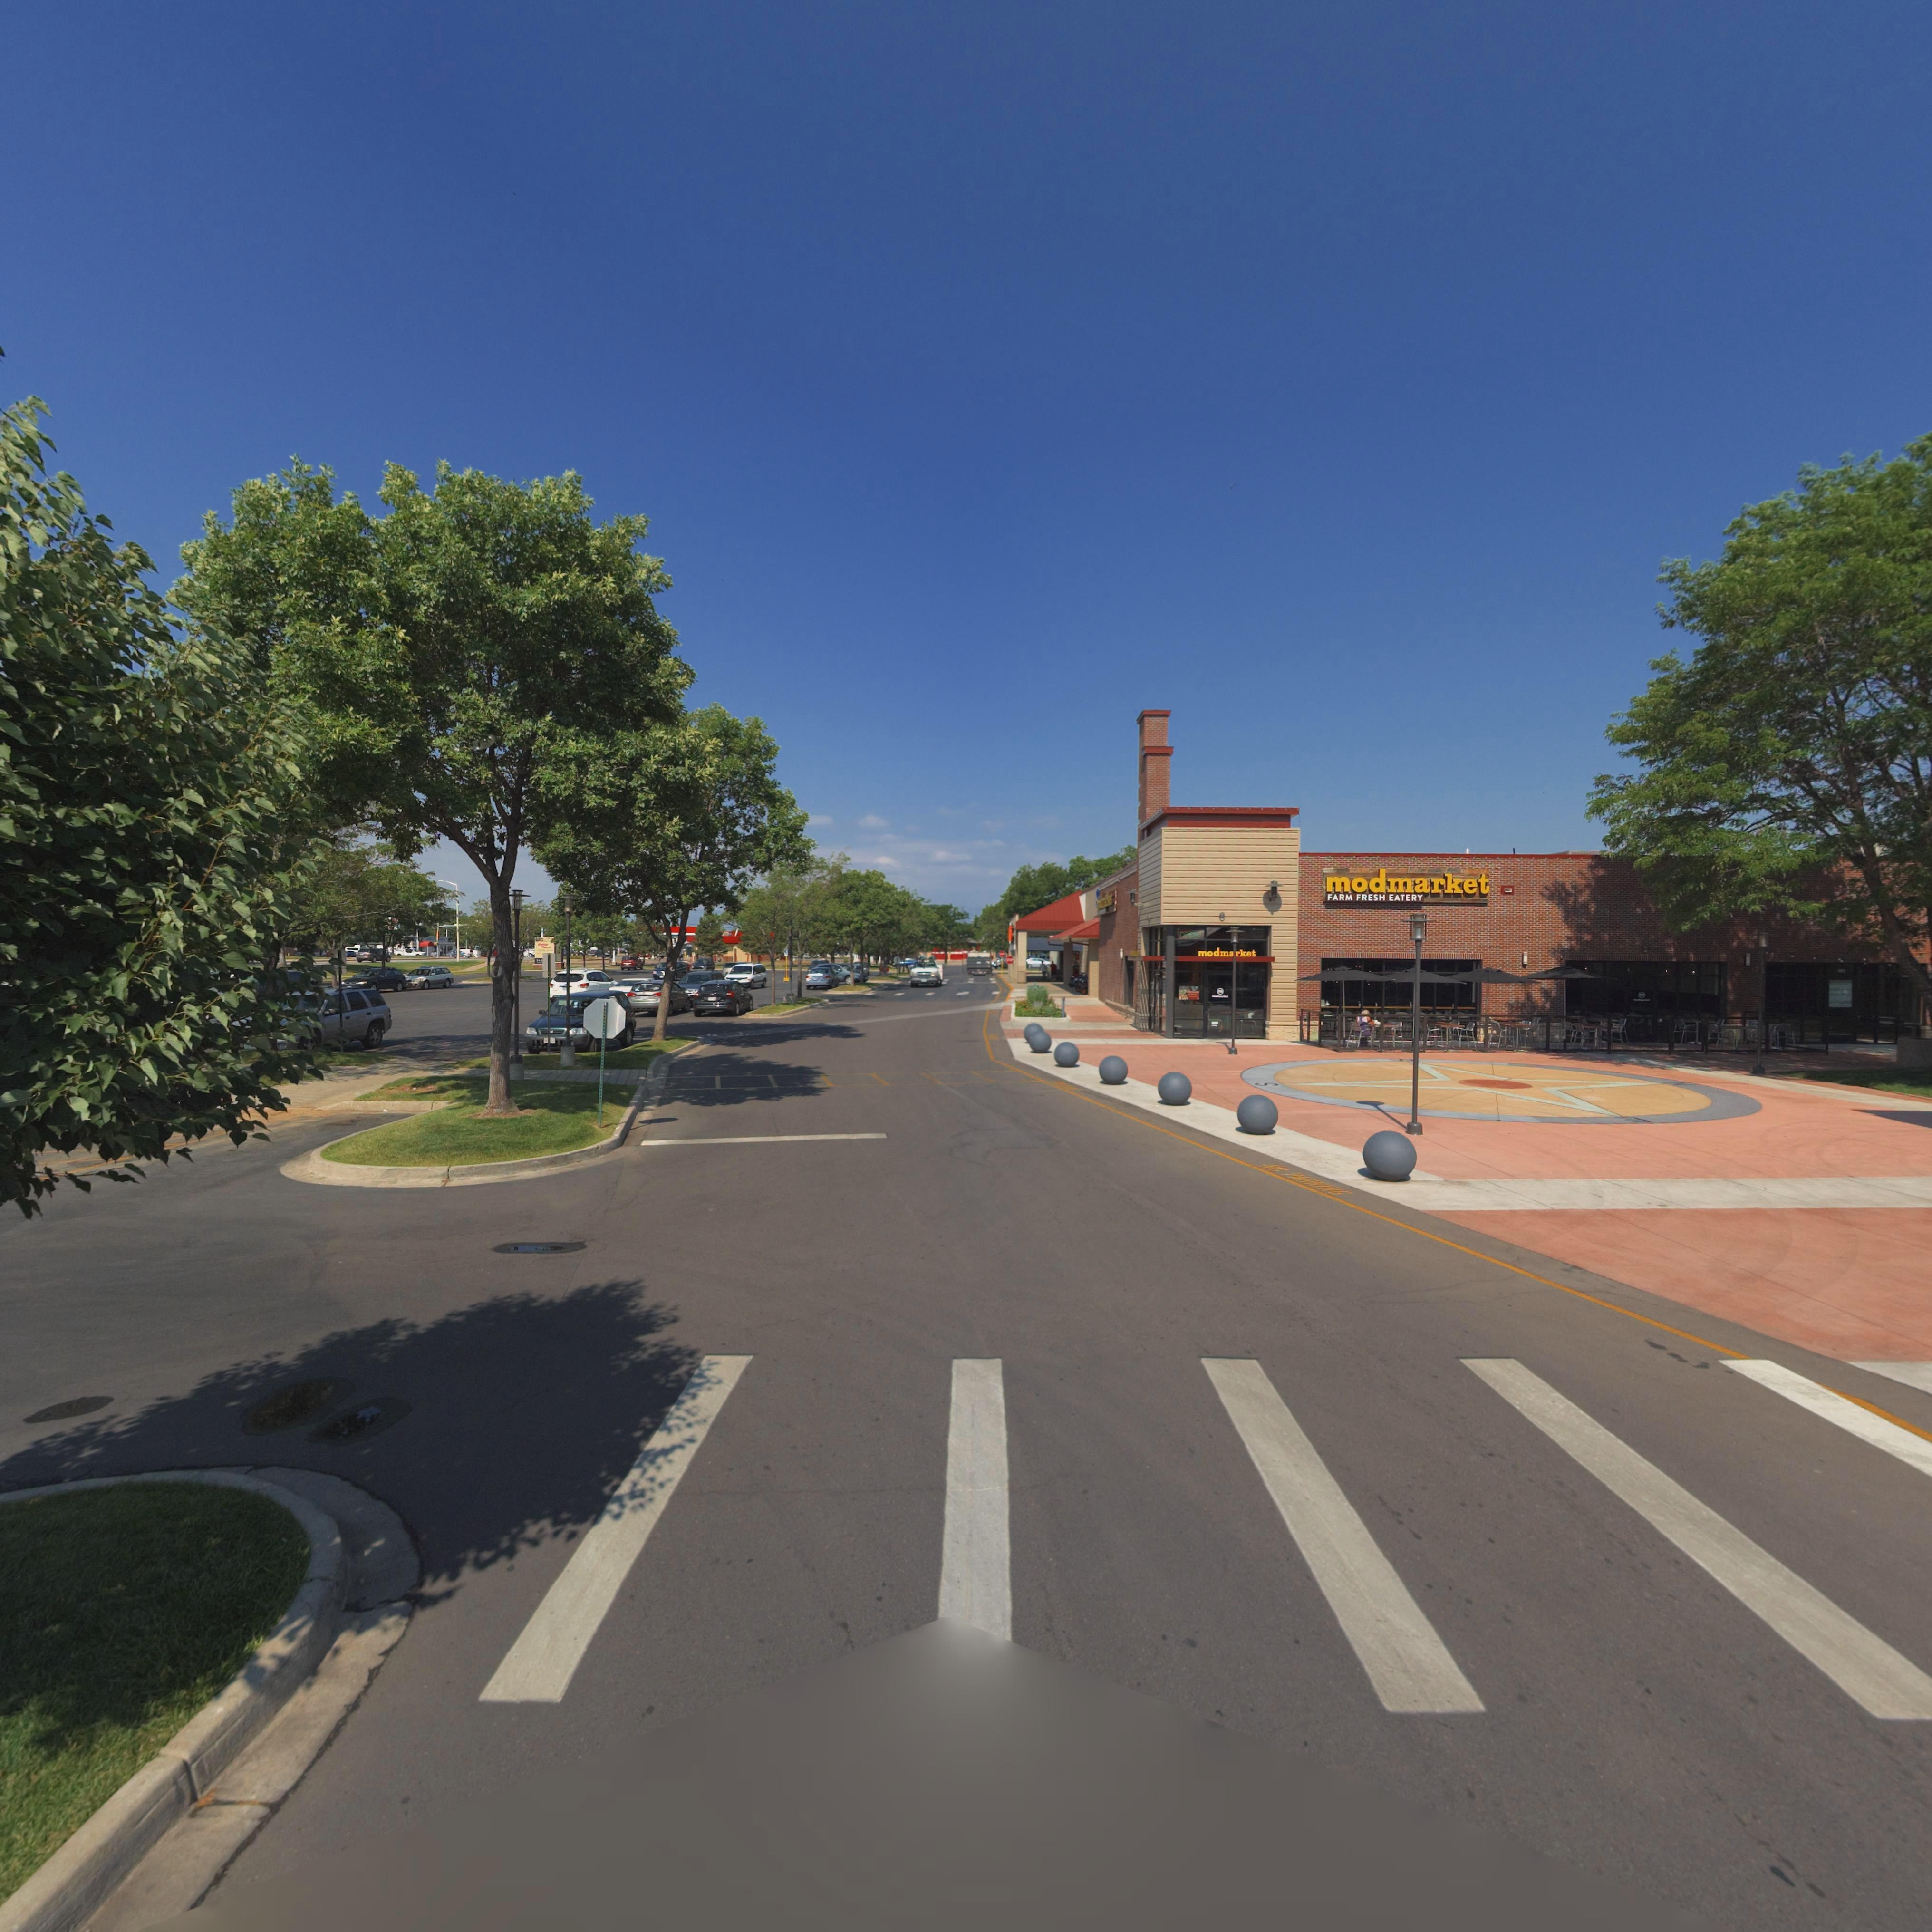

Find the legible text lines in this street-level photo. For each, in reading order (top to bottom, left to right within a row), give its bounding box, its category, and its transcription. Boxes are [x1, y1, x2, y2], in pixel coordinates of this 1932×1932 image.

[1325, 867, 1489, 894] BusinessName: modmarket
[1095, 888, 1100, 907] BusinessName: s
[1327, 893, 1423, 901] BusinessName: FARM FRESH EATERY
[540, 937, 543, 942] BusinessName: G
[1198, 947, 1256, 957] BusinessName: modmarket